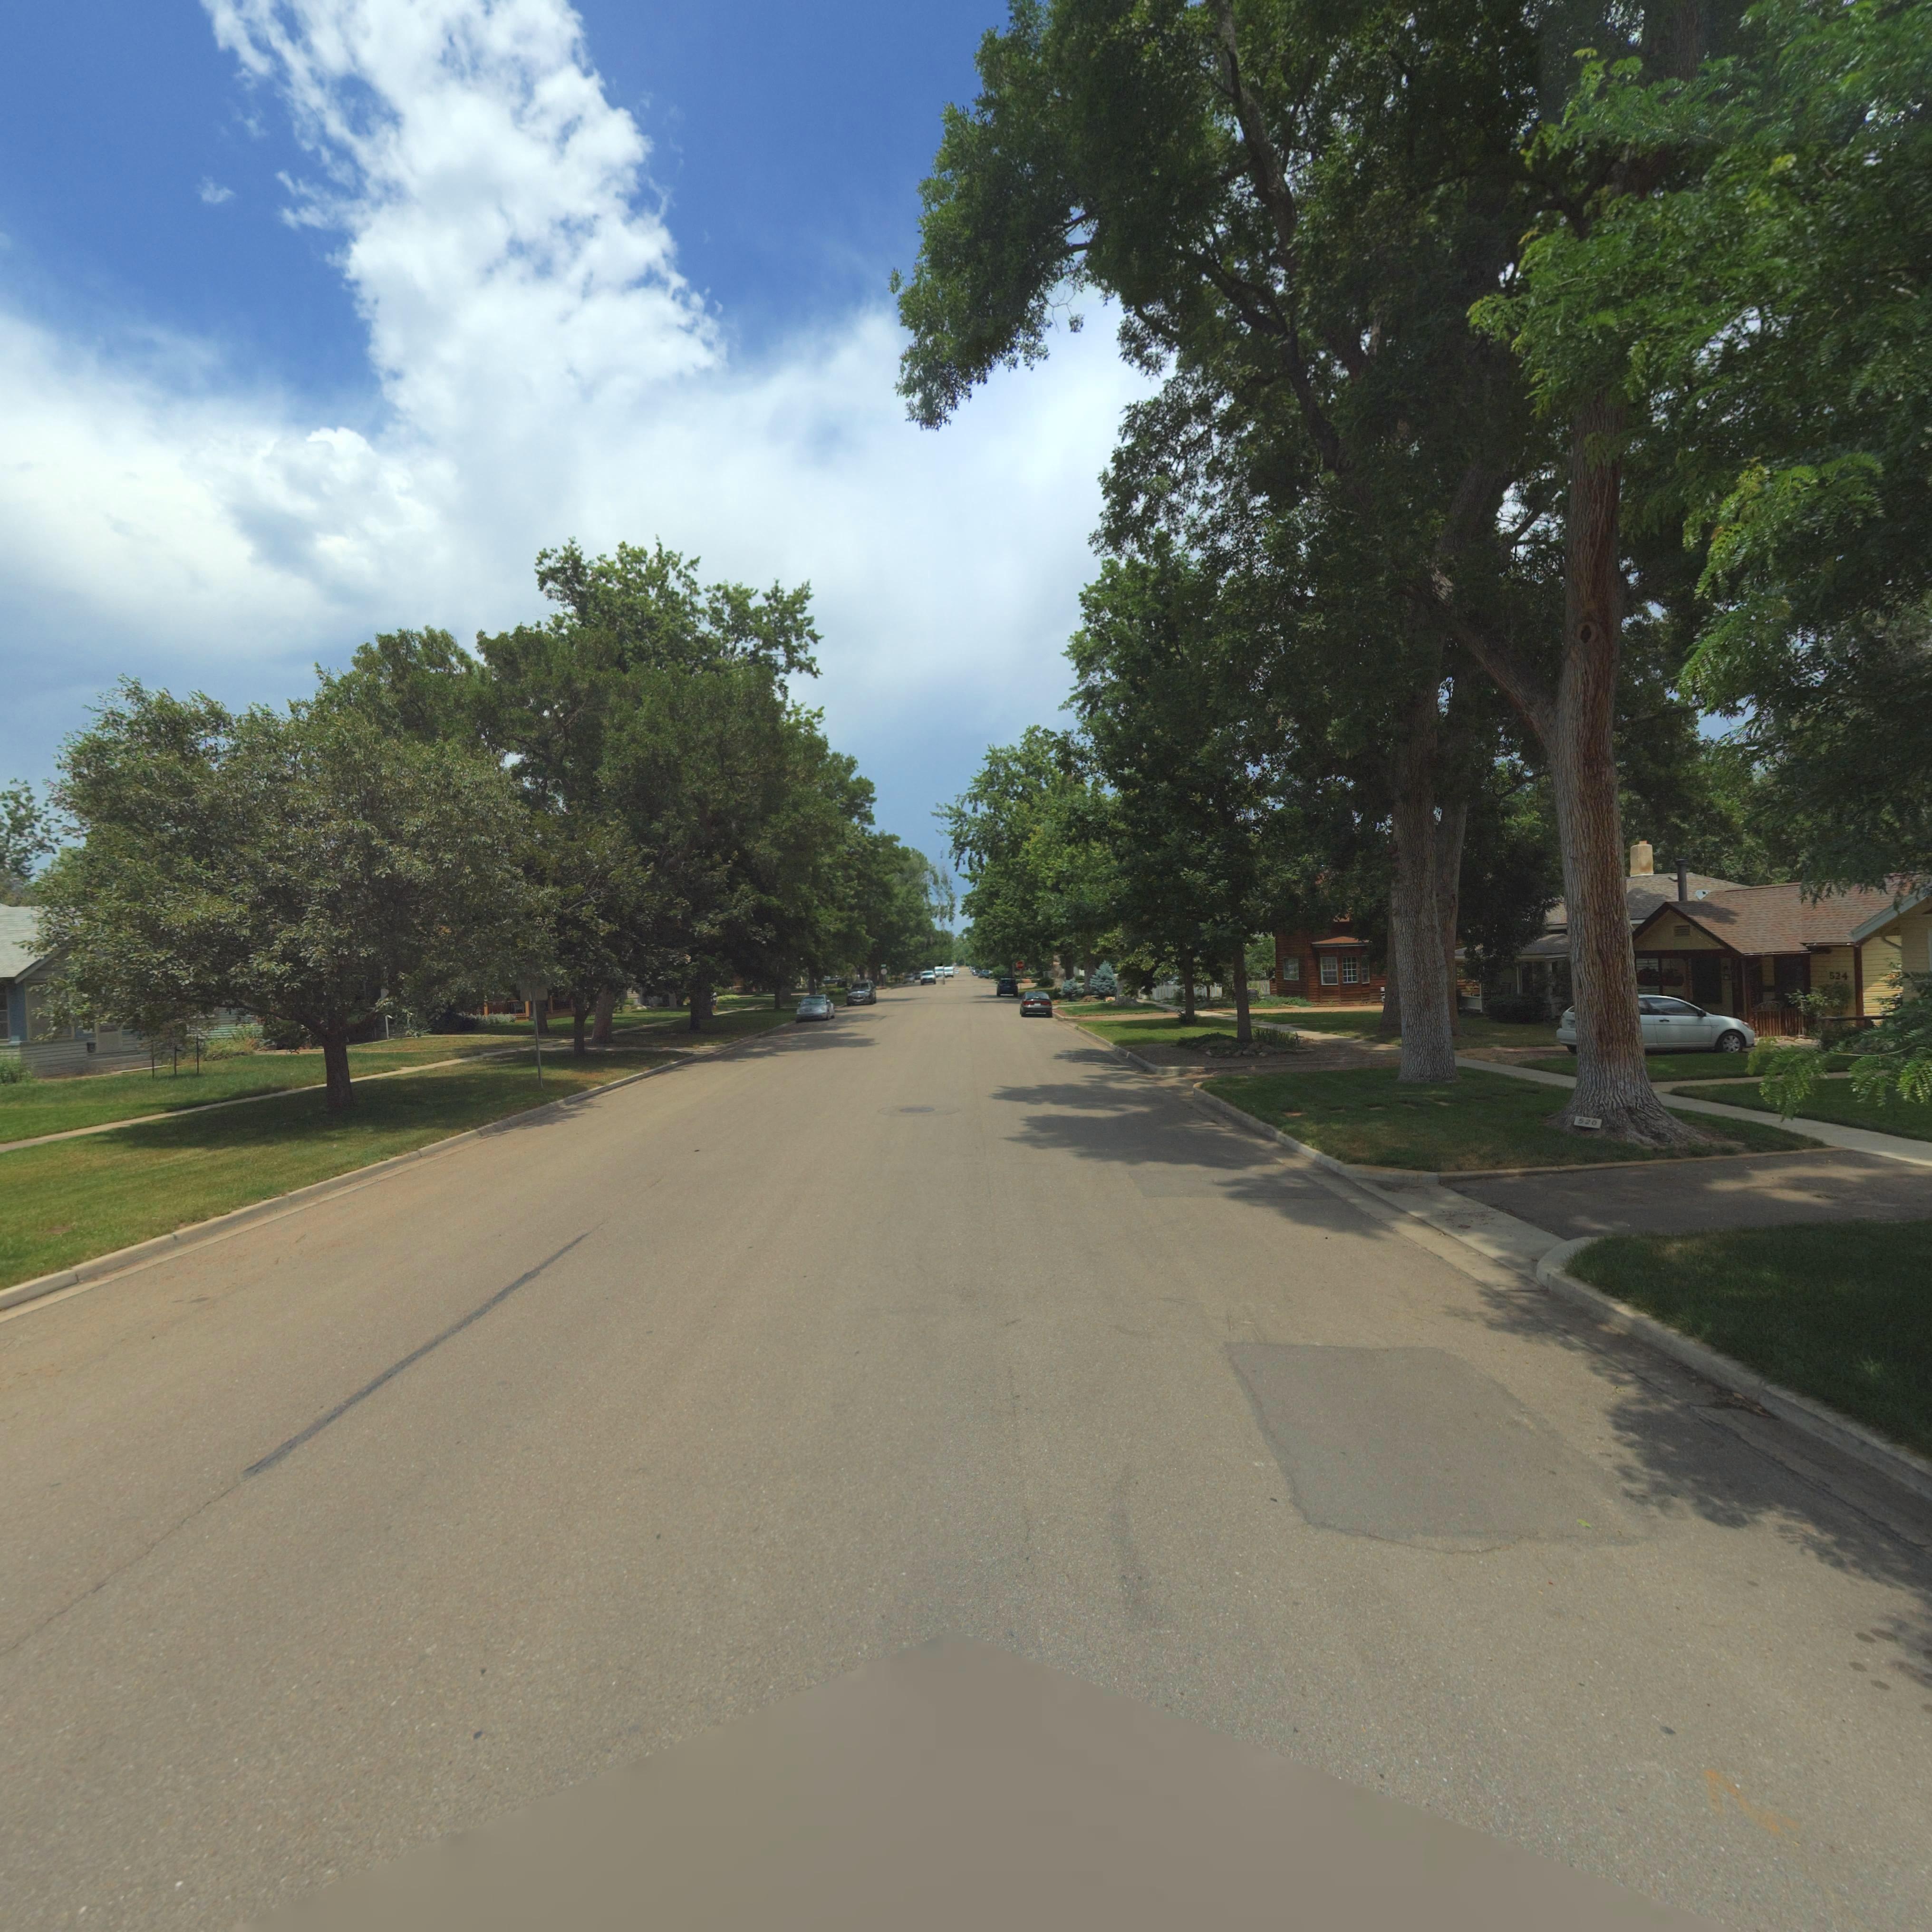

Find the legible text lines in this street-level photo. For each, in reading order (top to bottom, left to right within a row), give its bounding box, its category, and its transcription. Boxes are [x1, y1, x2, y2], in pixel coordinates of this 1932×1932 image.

[1829, 971, 1848, 980] StreetNumber: 524
[1577, 1118, 1597, 1126] StreetNumber: 520